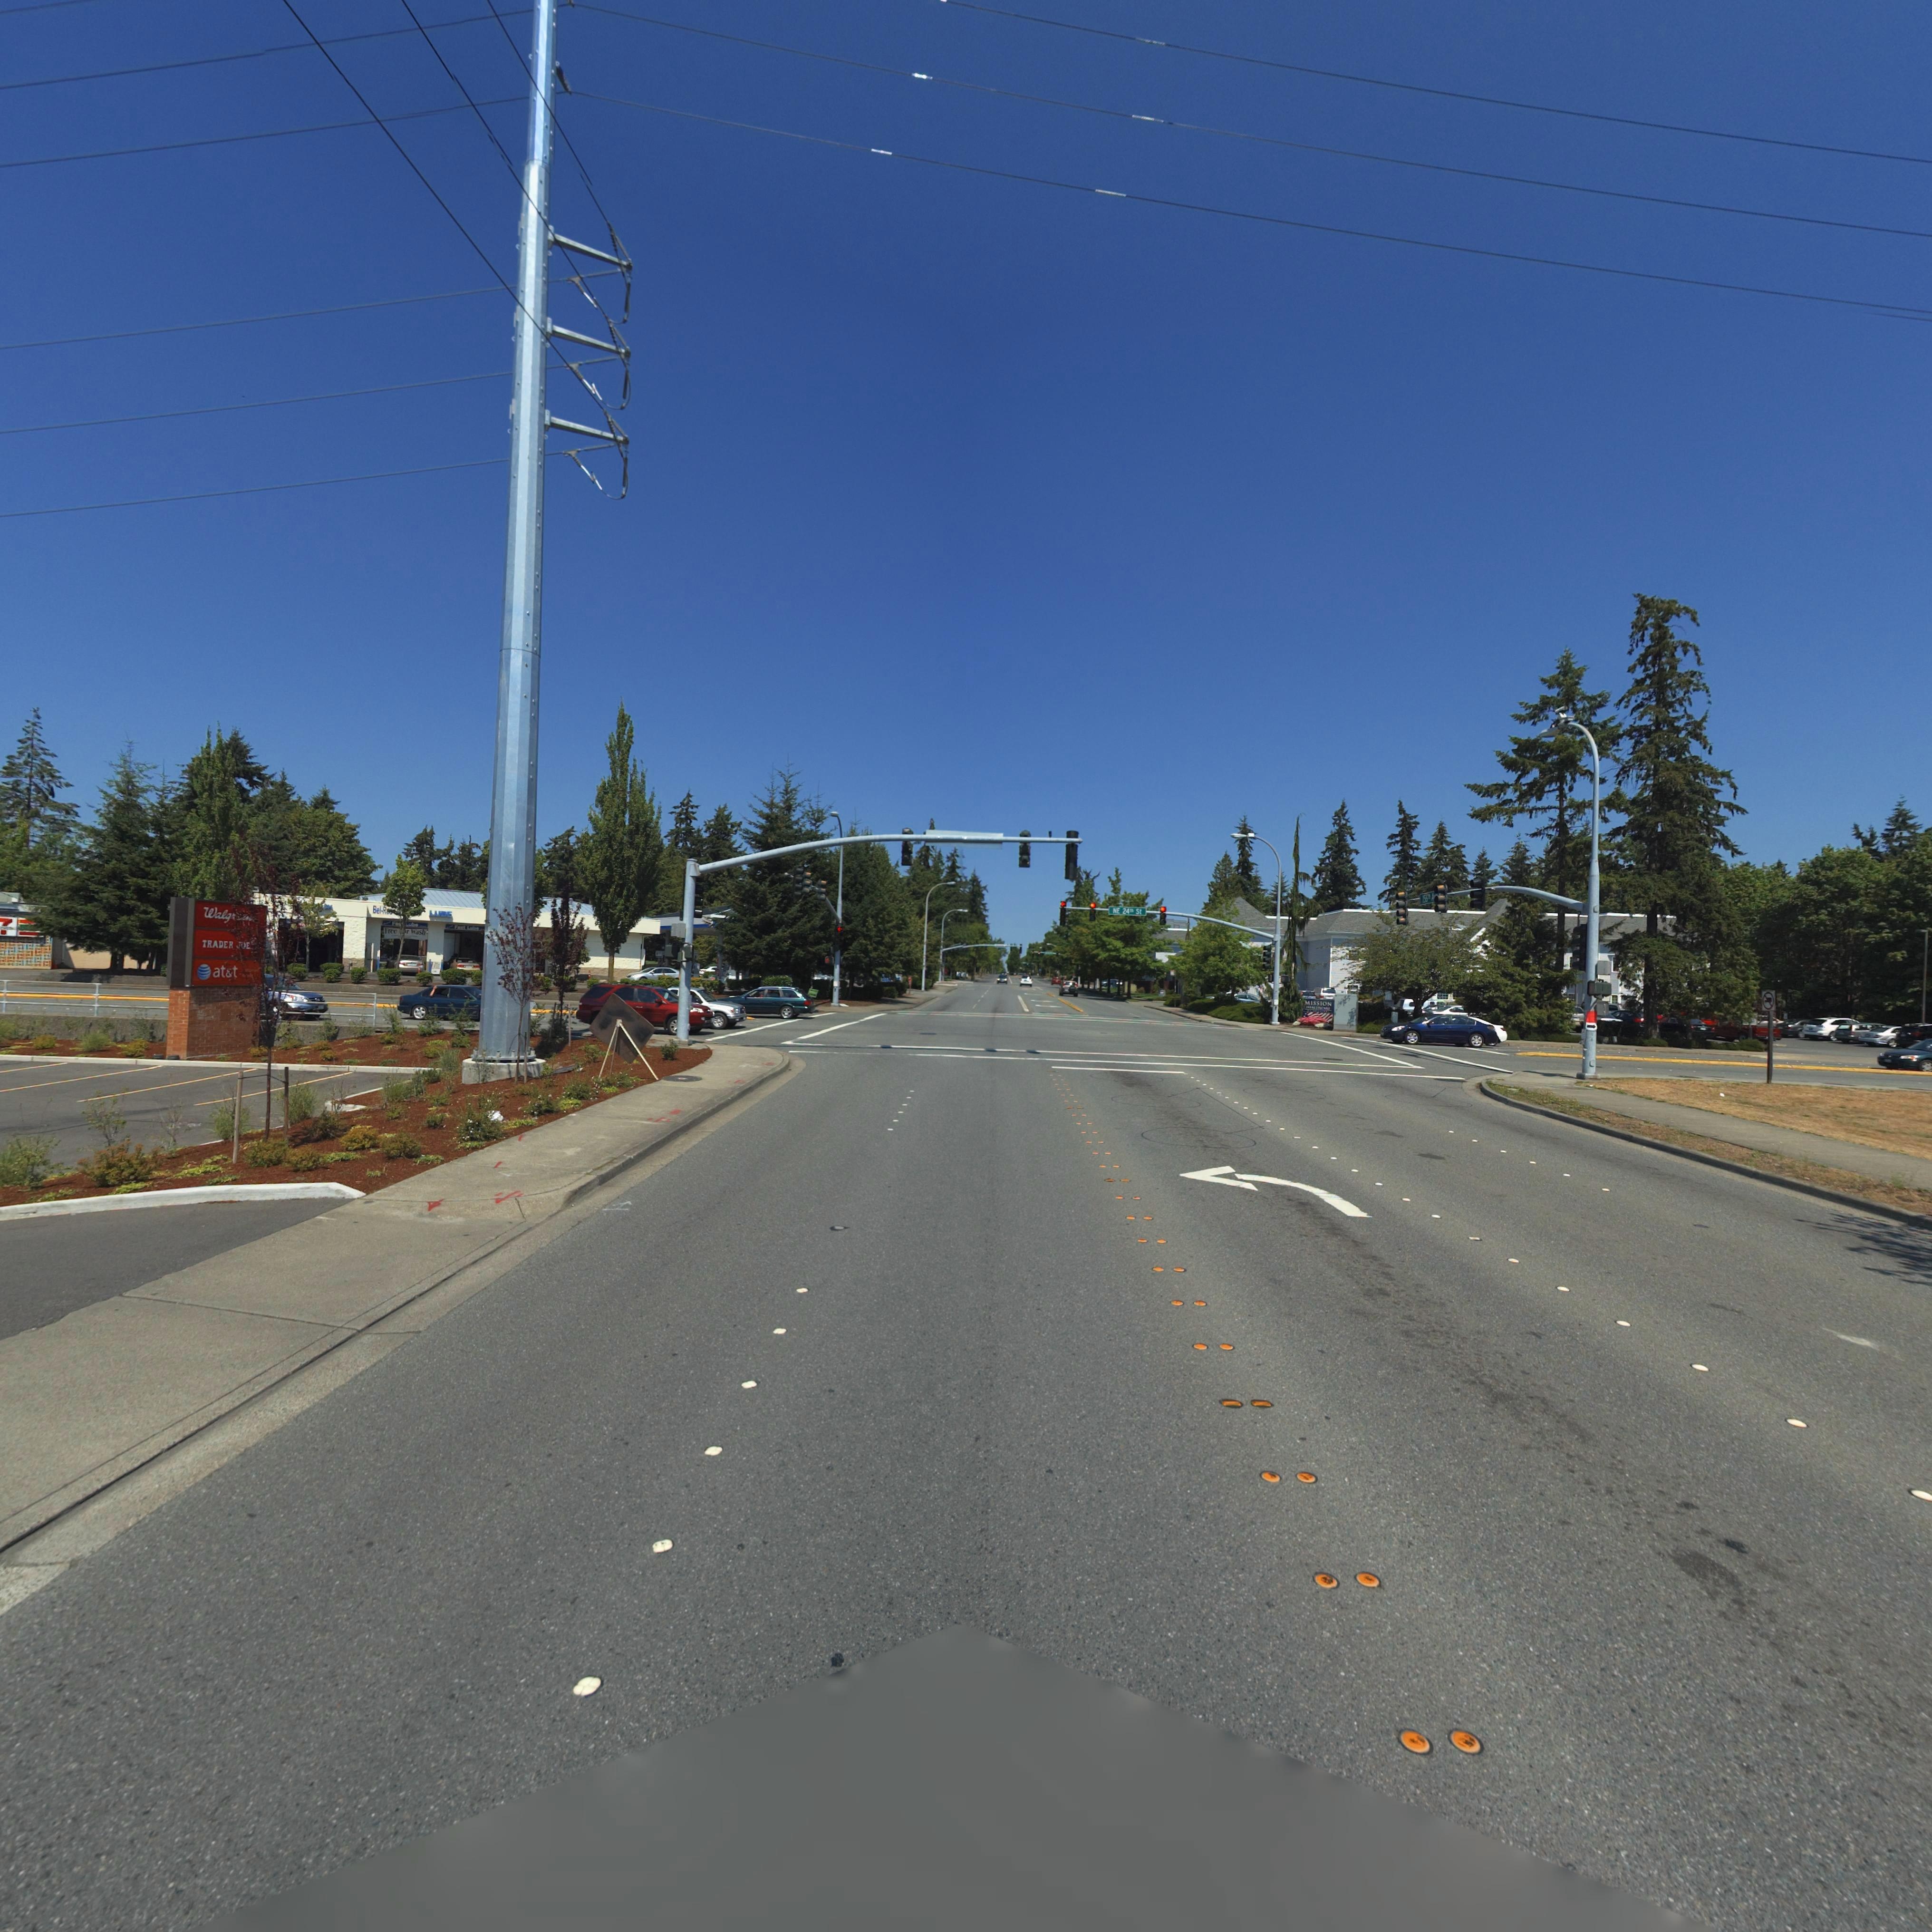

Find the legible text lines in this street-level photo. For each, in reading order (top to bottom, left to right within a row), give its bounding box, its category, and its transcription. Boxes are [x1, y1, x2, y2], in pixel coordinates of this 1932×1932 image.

[203, 906, 232, 924] BusinessName: Walg
[372, 905, 386, 914] BusinessName: Bel-R
[1112, 907, 1142, 915] StreetName: NE 24th St
[202, 940, 233, 949] BusinessName: TRADER
[213, 965, 238, 978] None: at*t
[1304, 1000, 1332, 1006] BusinessName: MISSION